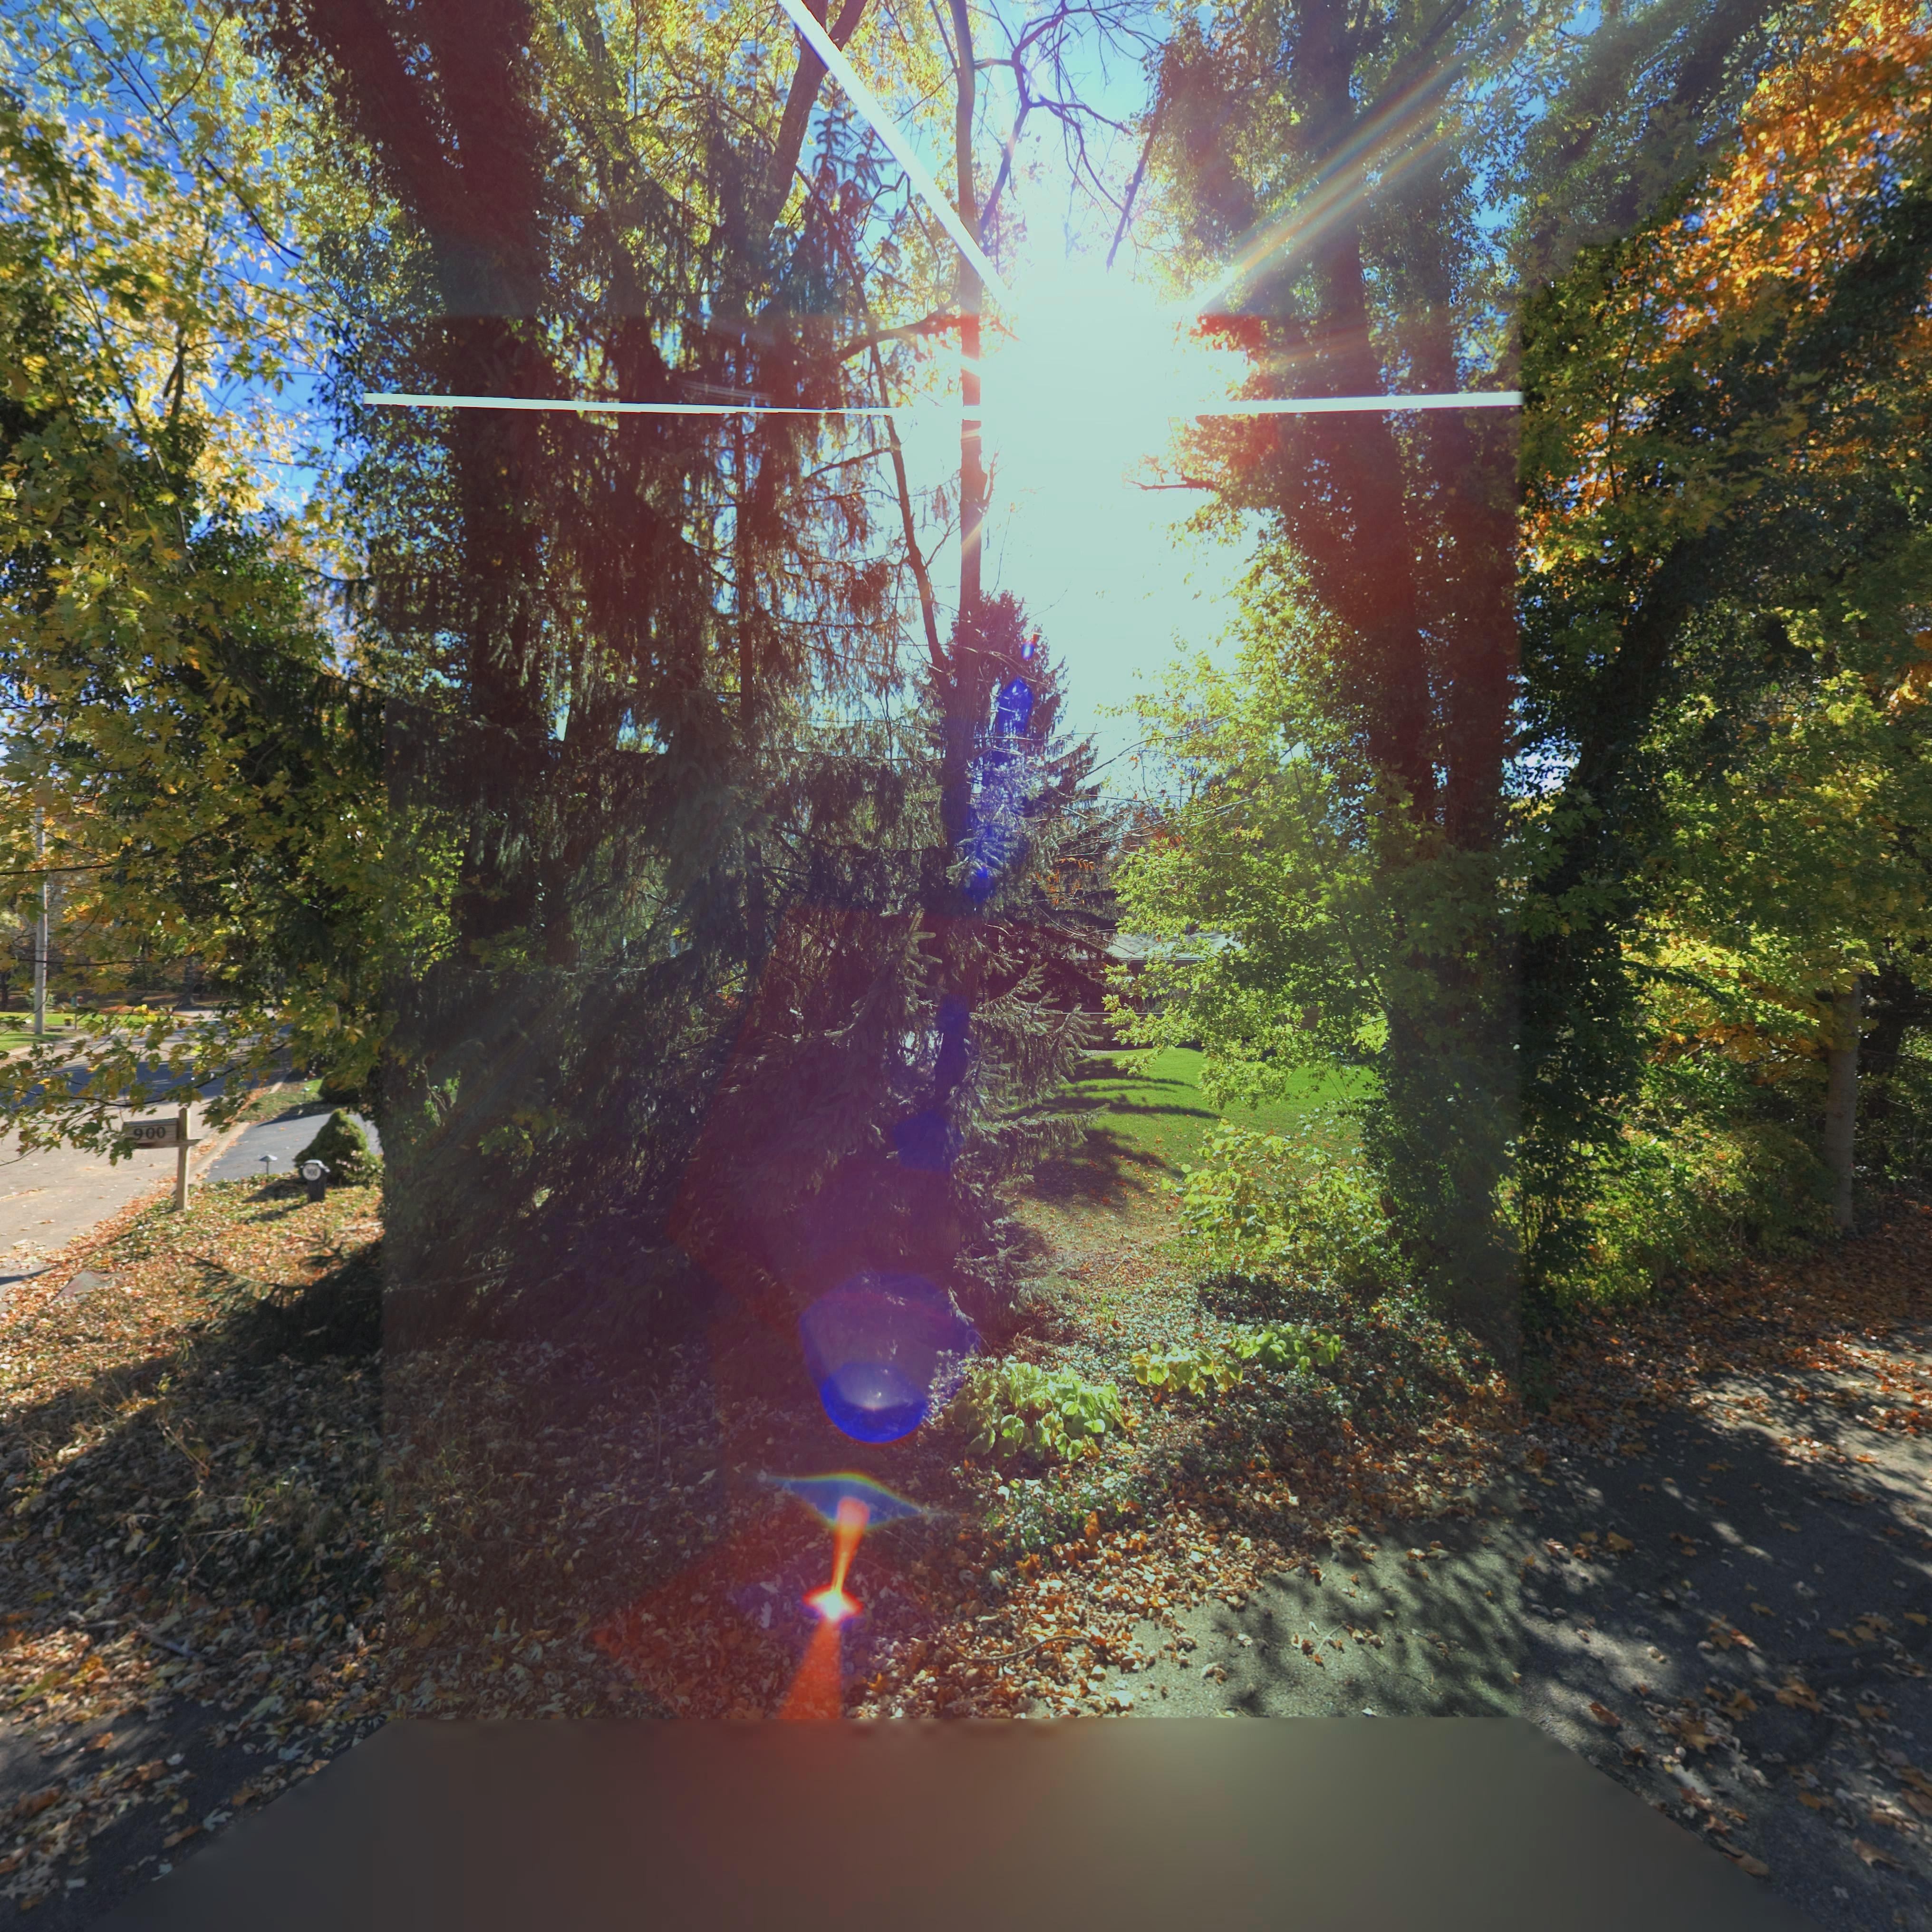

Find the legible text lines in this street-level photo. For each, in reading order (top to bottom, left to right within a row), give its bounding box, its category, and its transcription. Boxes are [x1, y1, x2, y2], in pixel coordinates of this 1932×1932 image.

[132, 1125, 167, 1141] StreetNumber: 900